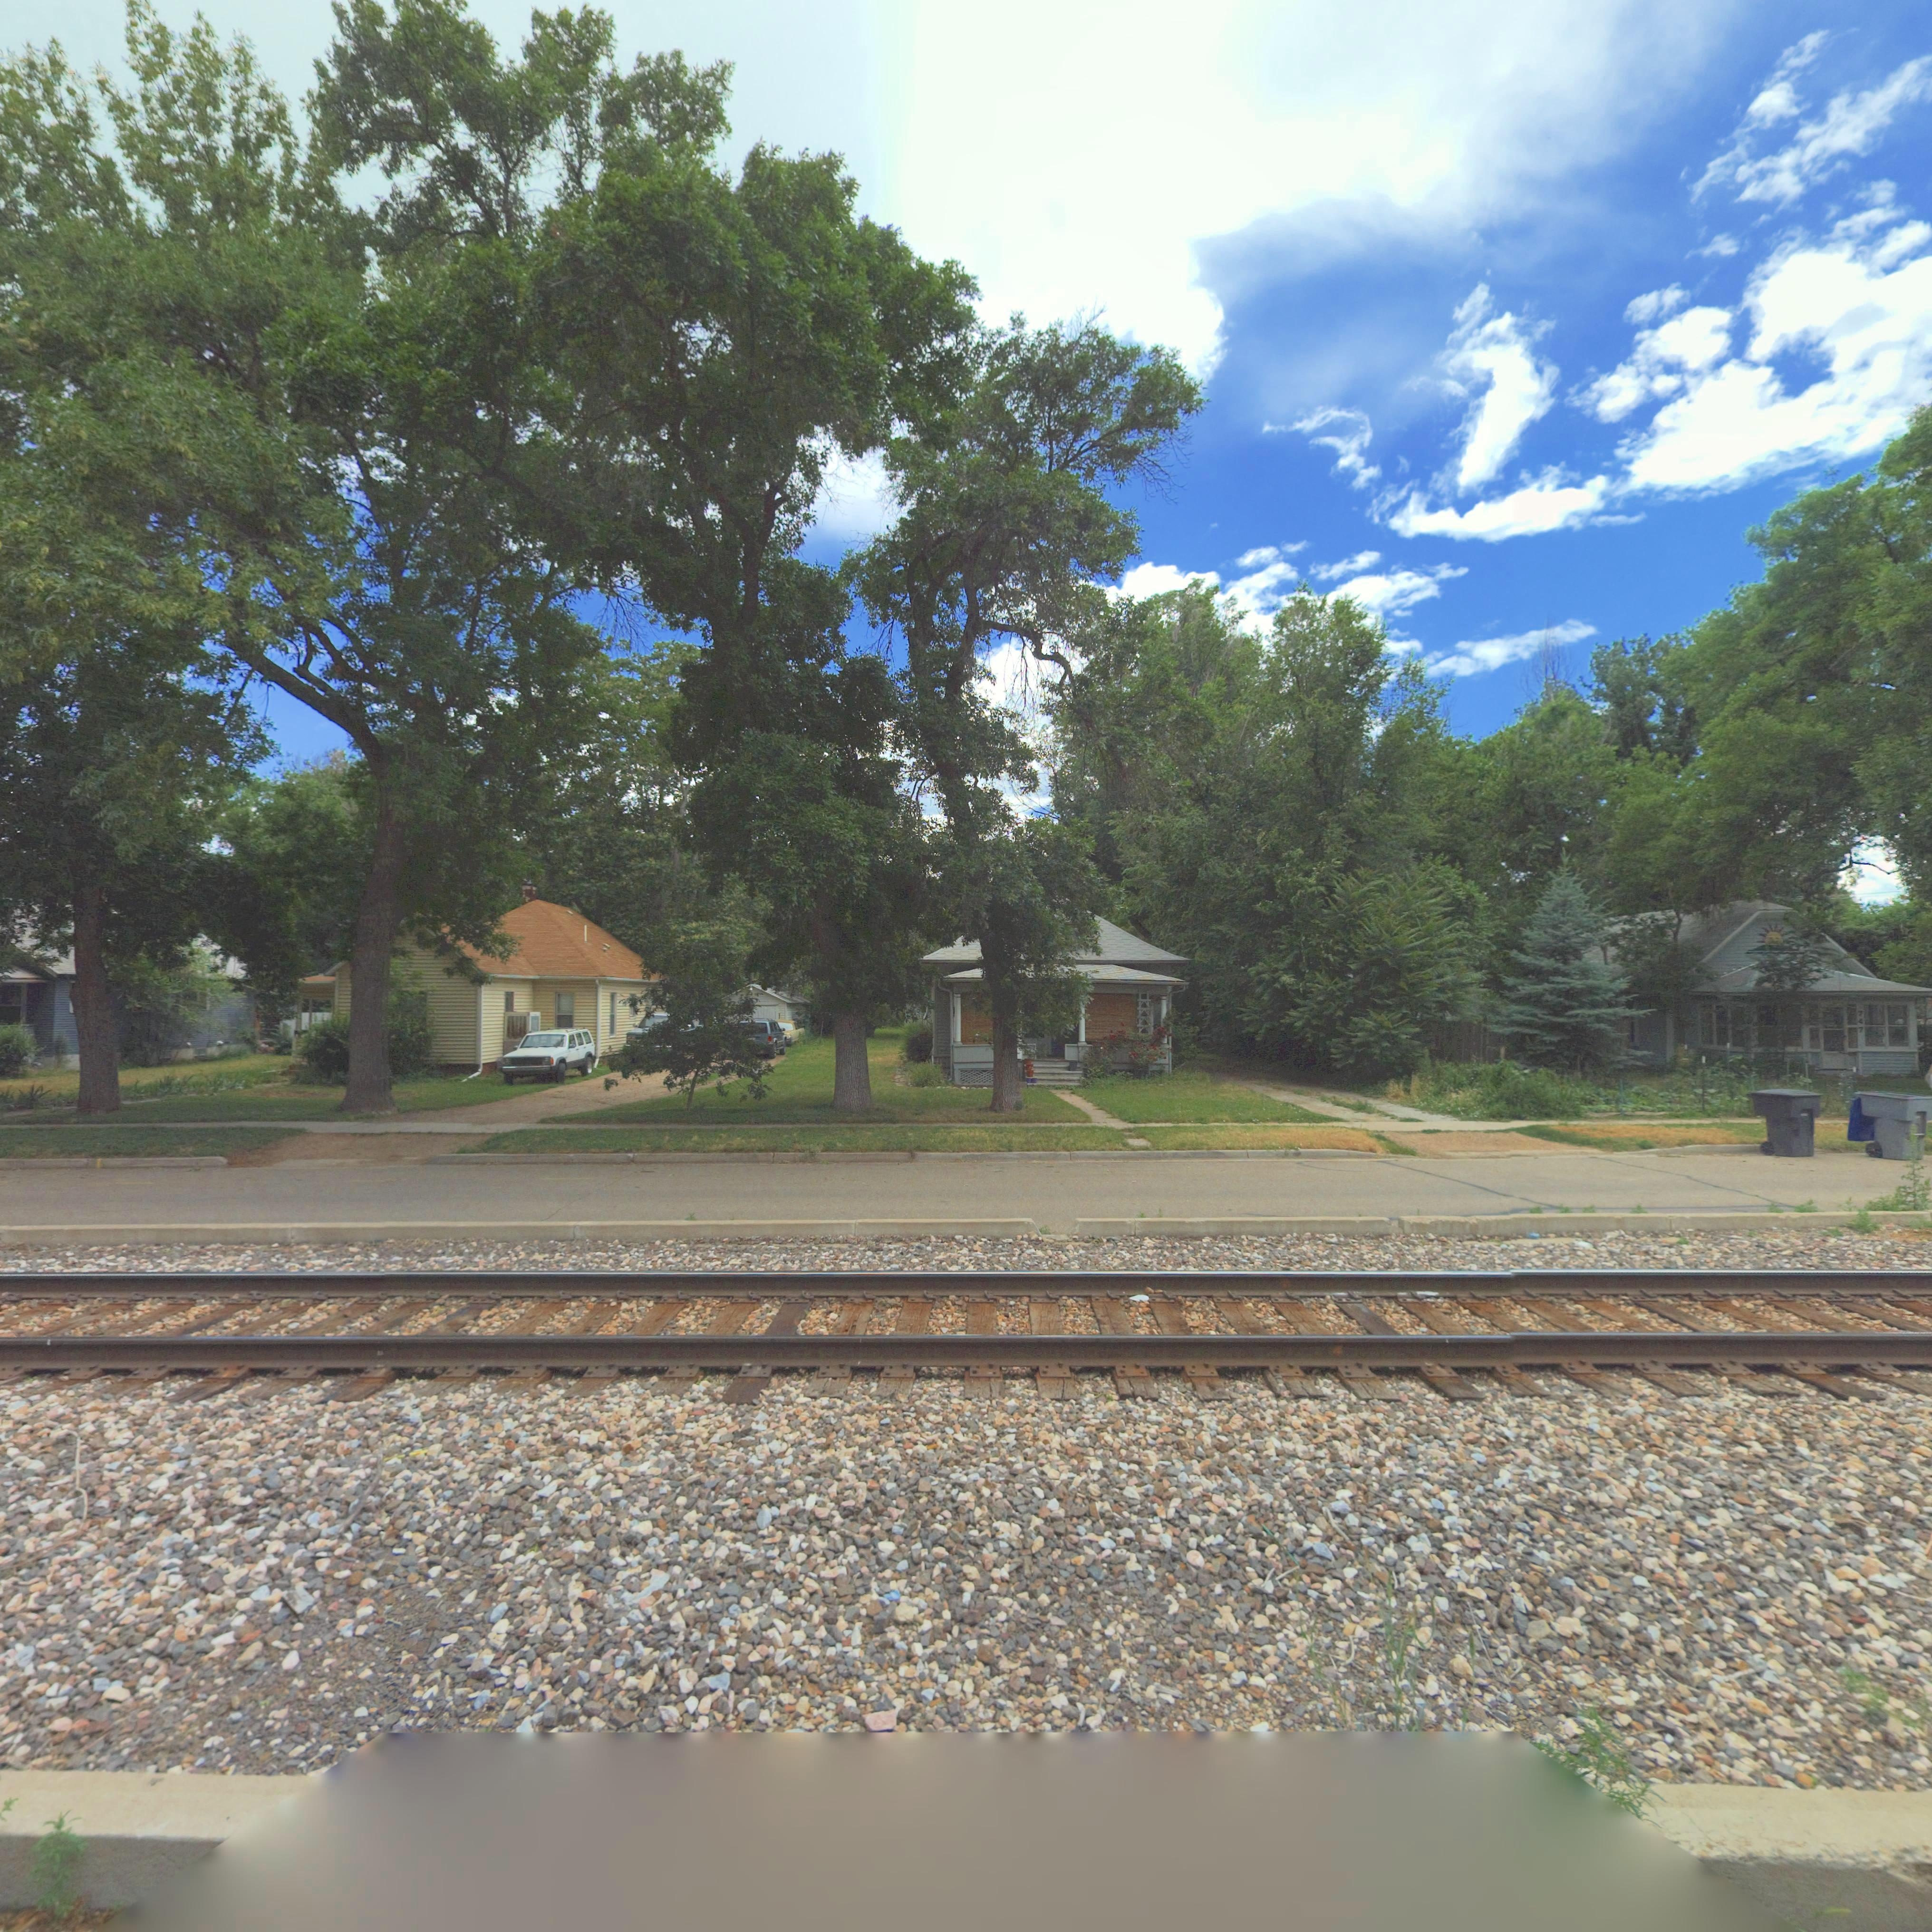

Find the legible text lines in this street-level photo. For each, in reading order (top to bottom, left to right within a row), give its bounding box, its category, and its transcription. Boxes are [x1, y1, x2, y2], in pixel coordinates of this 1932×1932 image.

[1857, 1010, 1863, 1033] StreetNumber: 747